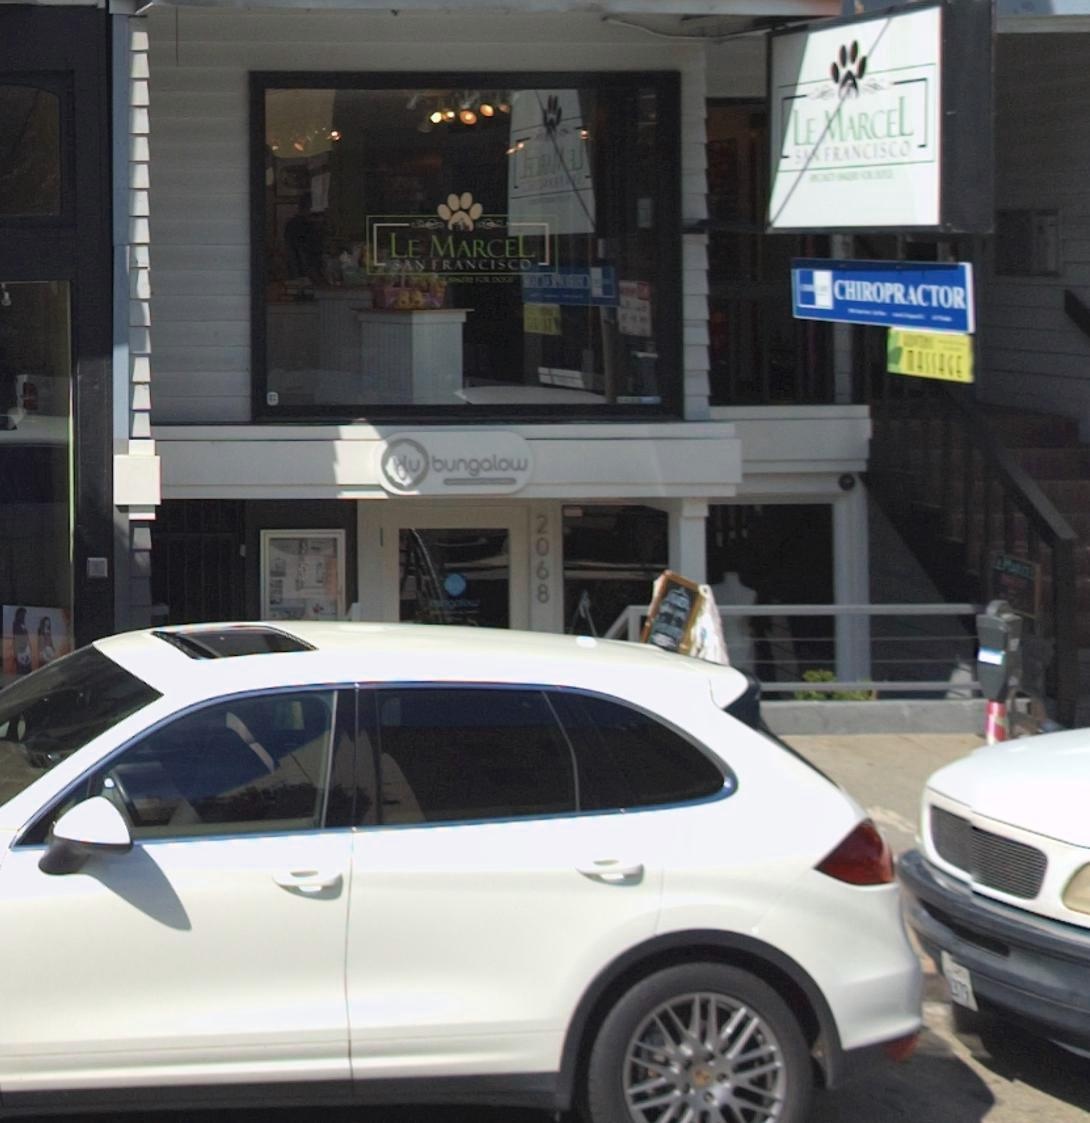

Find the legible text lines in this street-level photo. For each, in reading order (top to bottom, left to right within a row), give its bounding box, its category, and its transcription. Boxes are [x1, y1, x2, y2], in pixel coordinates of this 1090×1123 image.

[793, 95, 915, 147] BusinessName: LE MARCEl
[794, 139, 912, 165] None: SAN FRANCISCO
[390, 232, 540, 259] BusinessName: LE MARCEL
[392, 259, 532, 271] None: SAN FRANCISCO
[833, 279, 966, 311] BusinessName: CHIROPRACTOR
[906, 348, 964, 379] BusinessName: MASSAGE
[432, 454, 529, 477] BusinessName: bungalow
[535, 514, 550, 604] StreetNumber: 2068
[951, 977, 970, 1005] None: 379